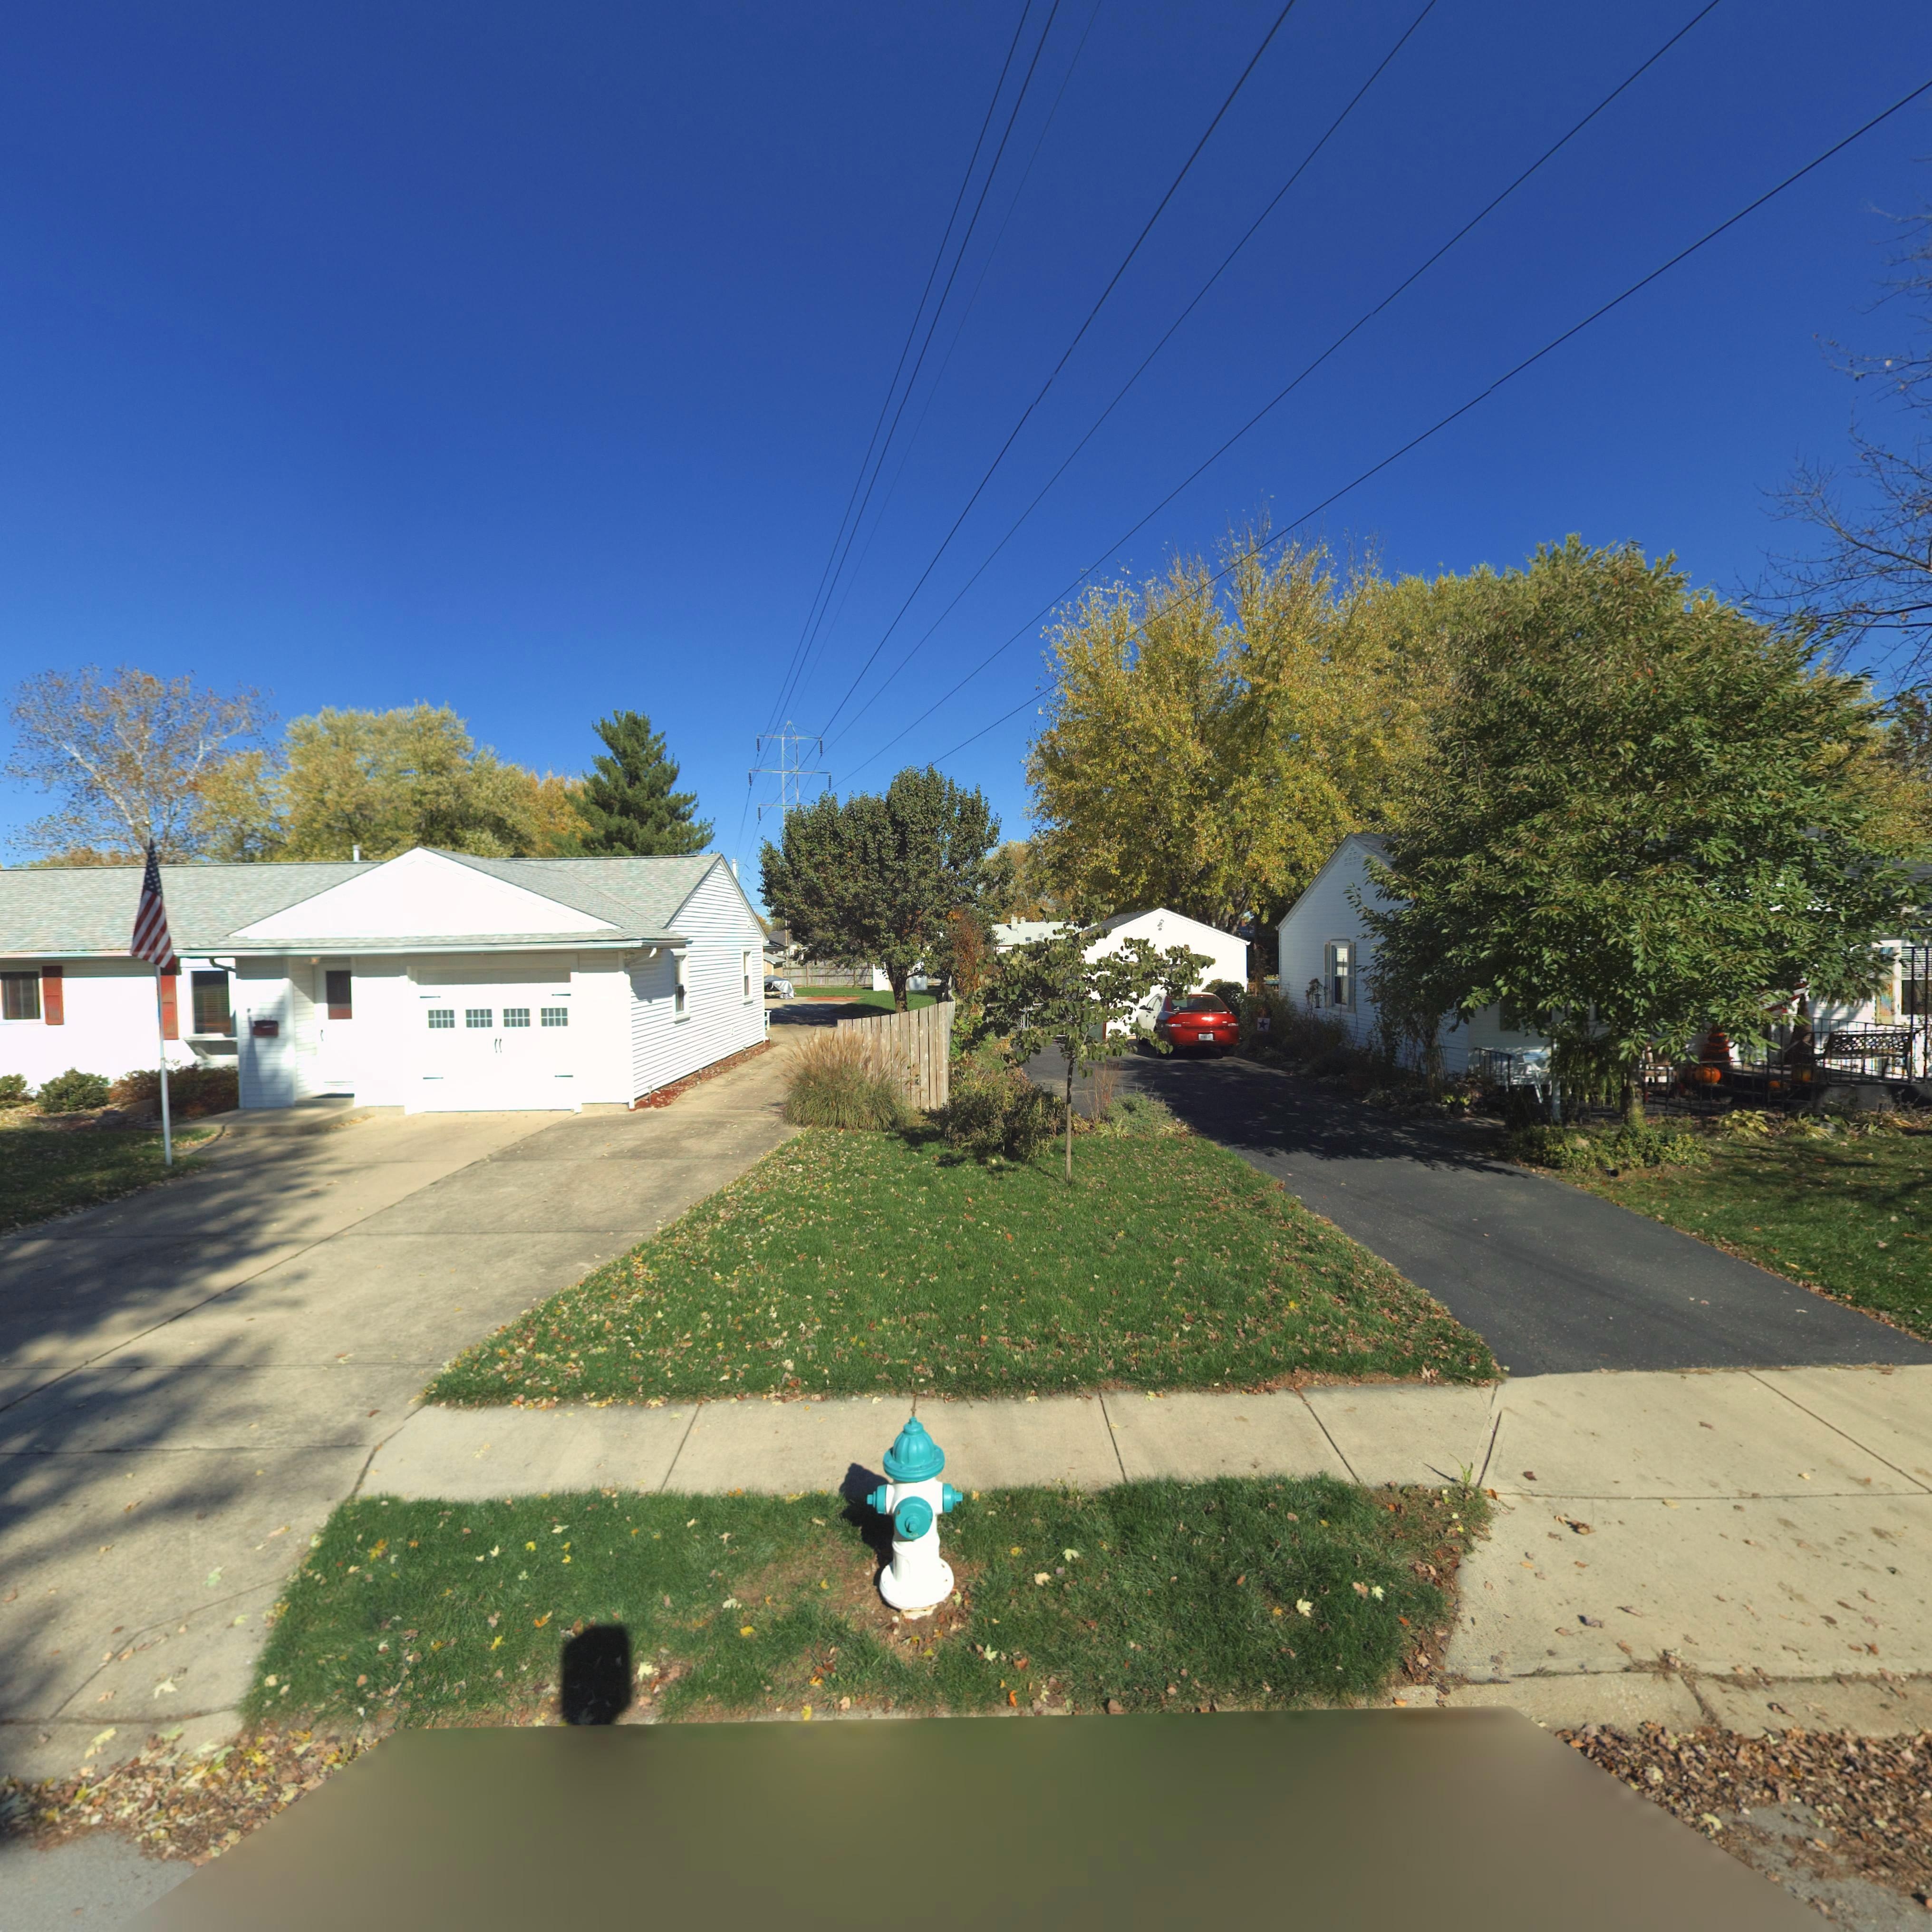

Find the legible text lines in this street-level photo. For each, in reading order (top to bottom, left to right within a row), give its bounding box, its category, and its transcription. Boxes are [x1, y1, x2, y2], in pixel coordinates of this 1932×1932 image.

[261, 1015, 274, 1021] StreetNumber: 2*7